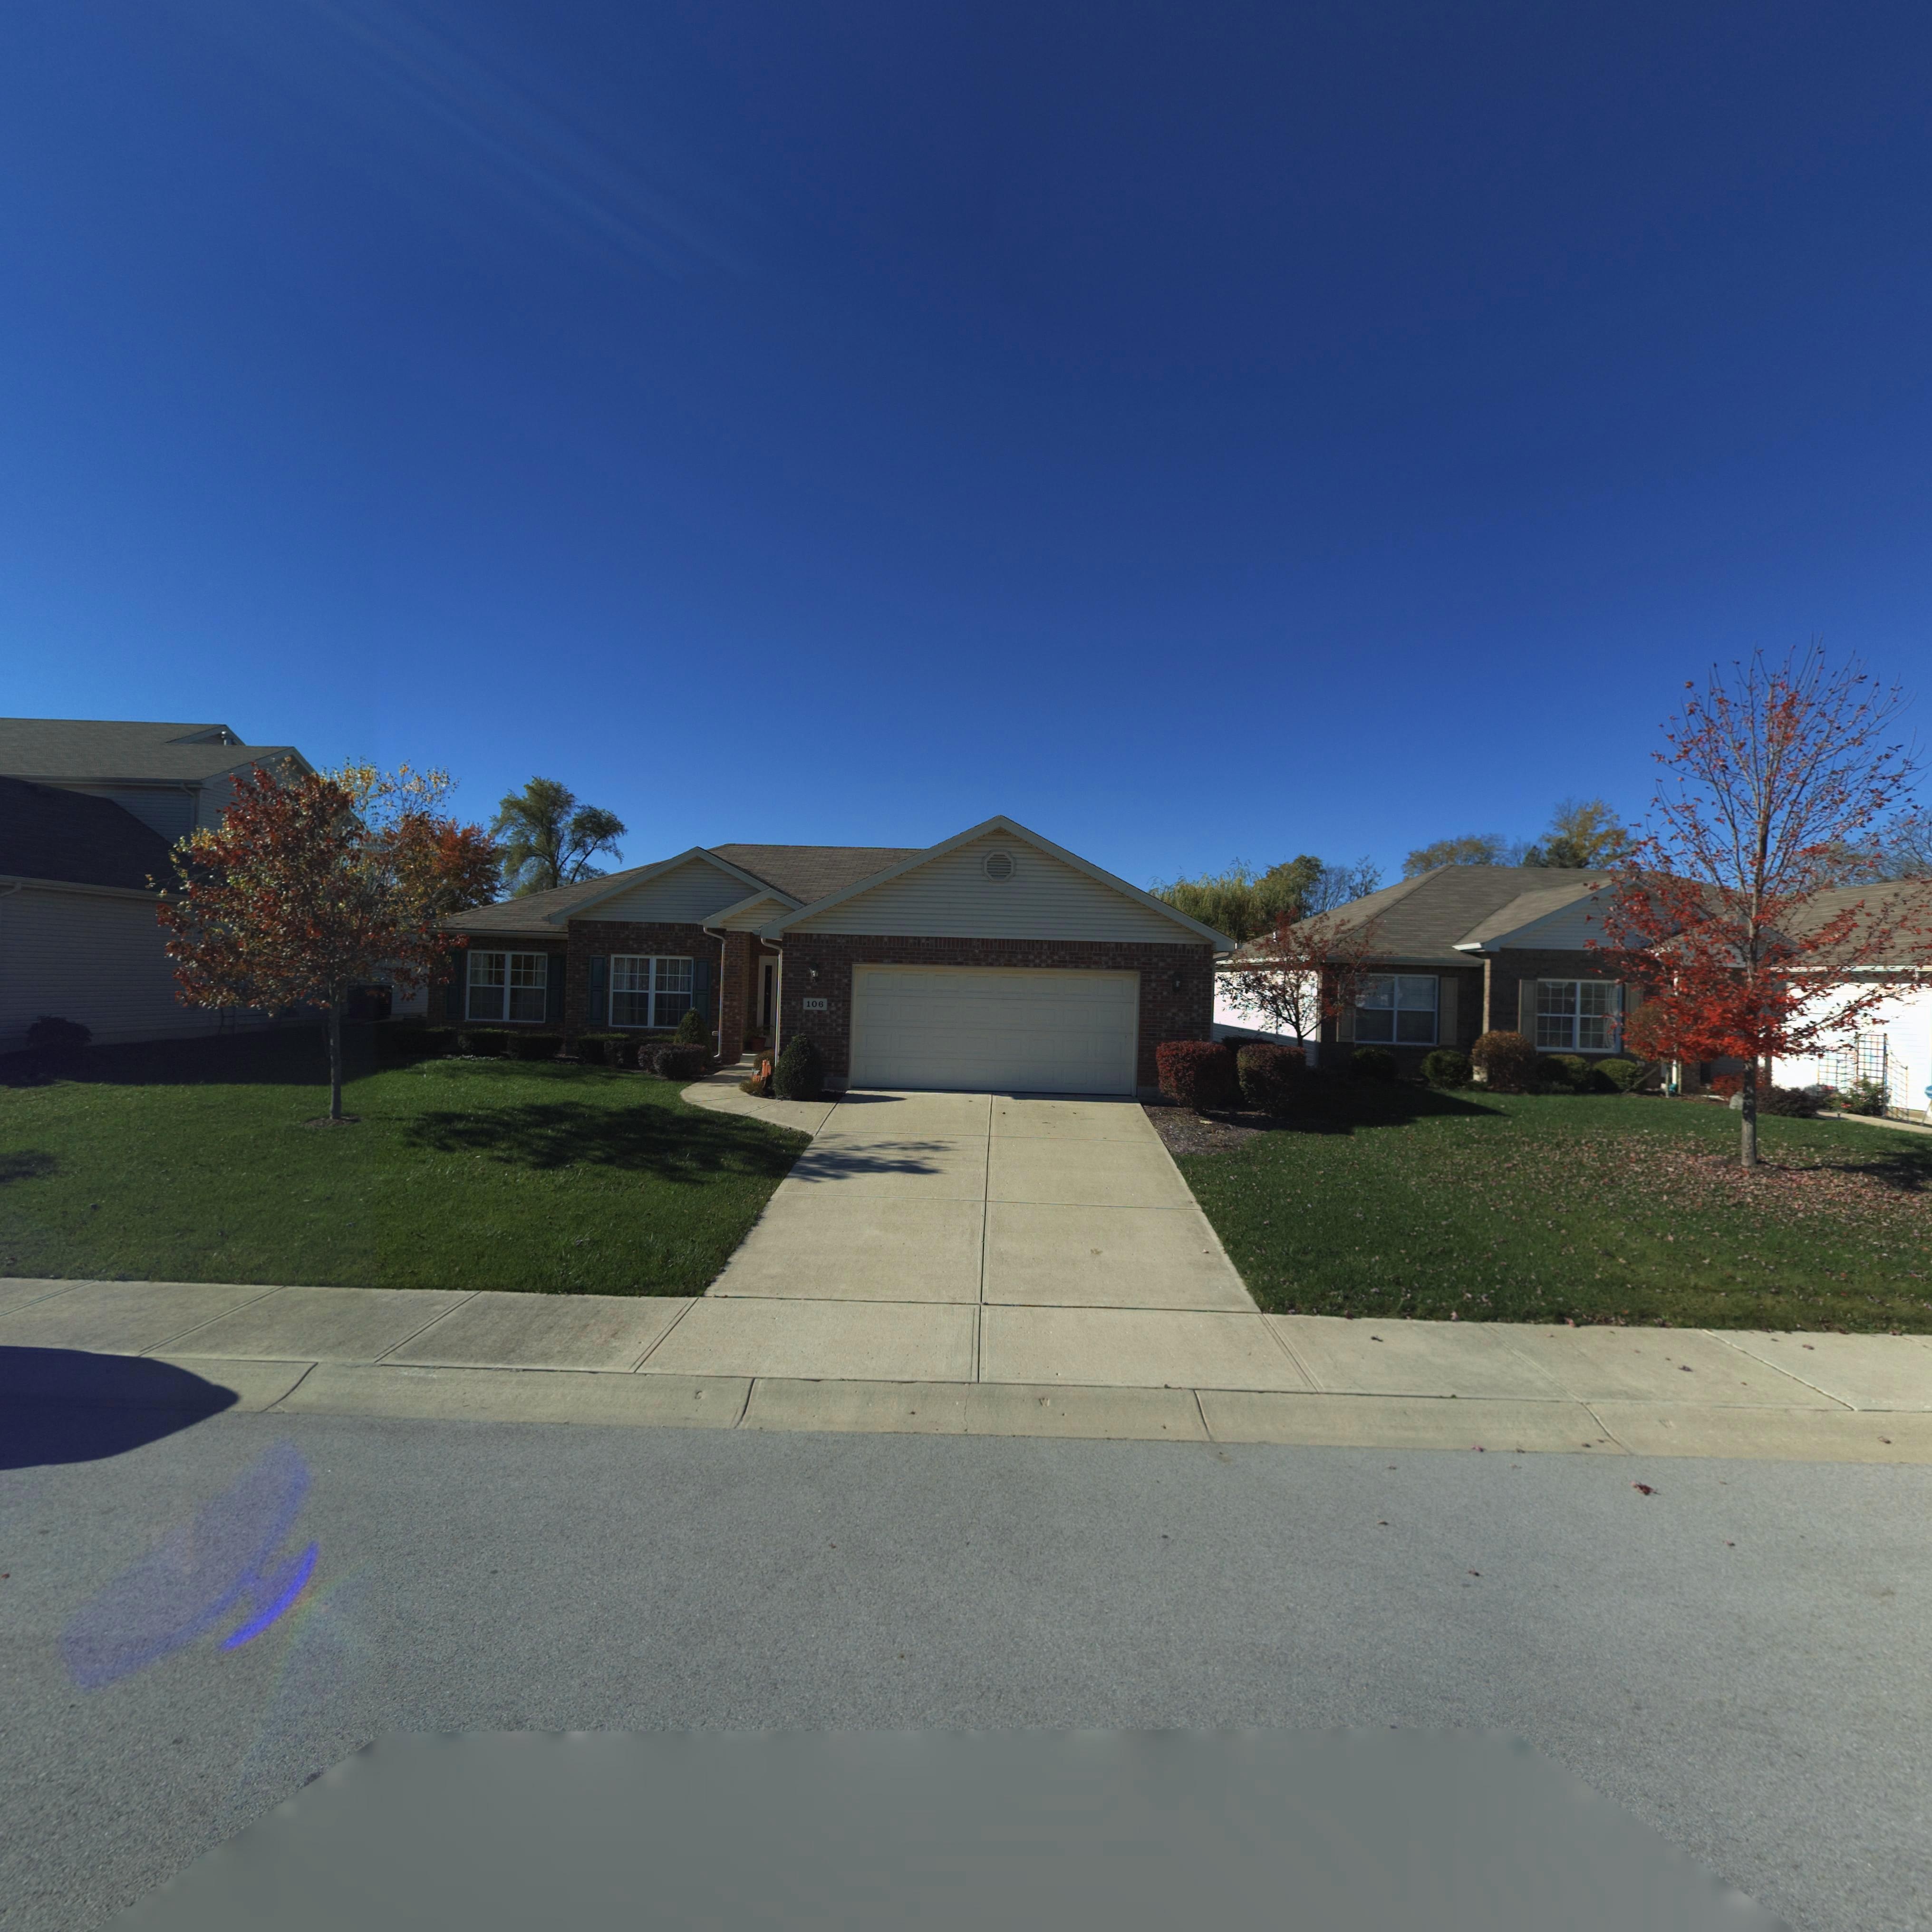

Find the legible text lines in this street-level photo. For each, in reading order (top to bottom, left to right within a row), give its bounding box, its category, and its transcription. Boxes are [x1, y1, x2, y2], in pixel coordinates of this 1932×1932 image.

[805, 999, 825, 1009] StreetNumber: 106